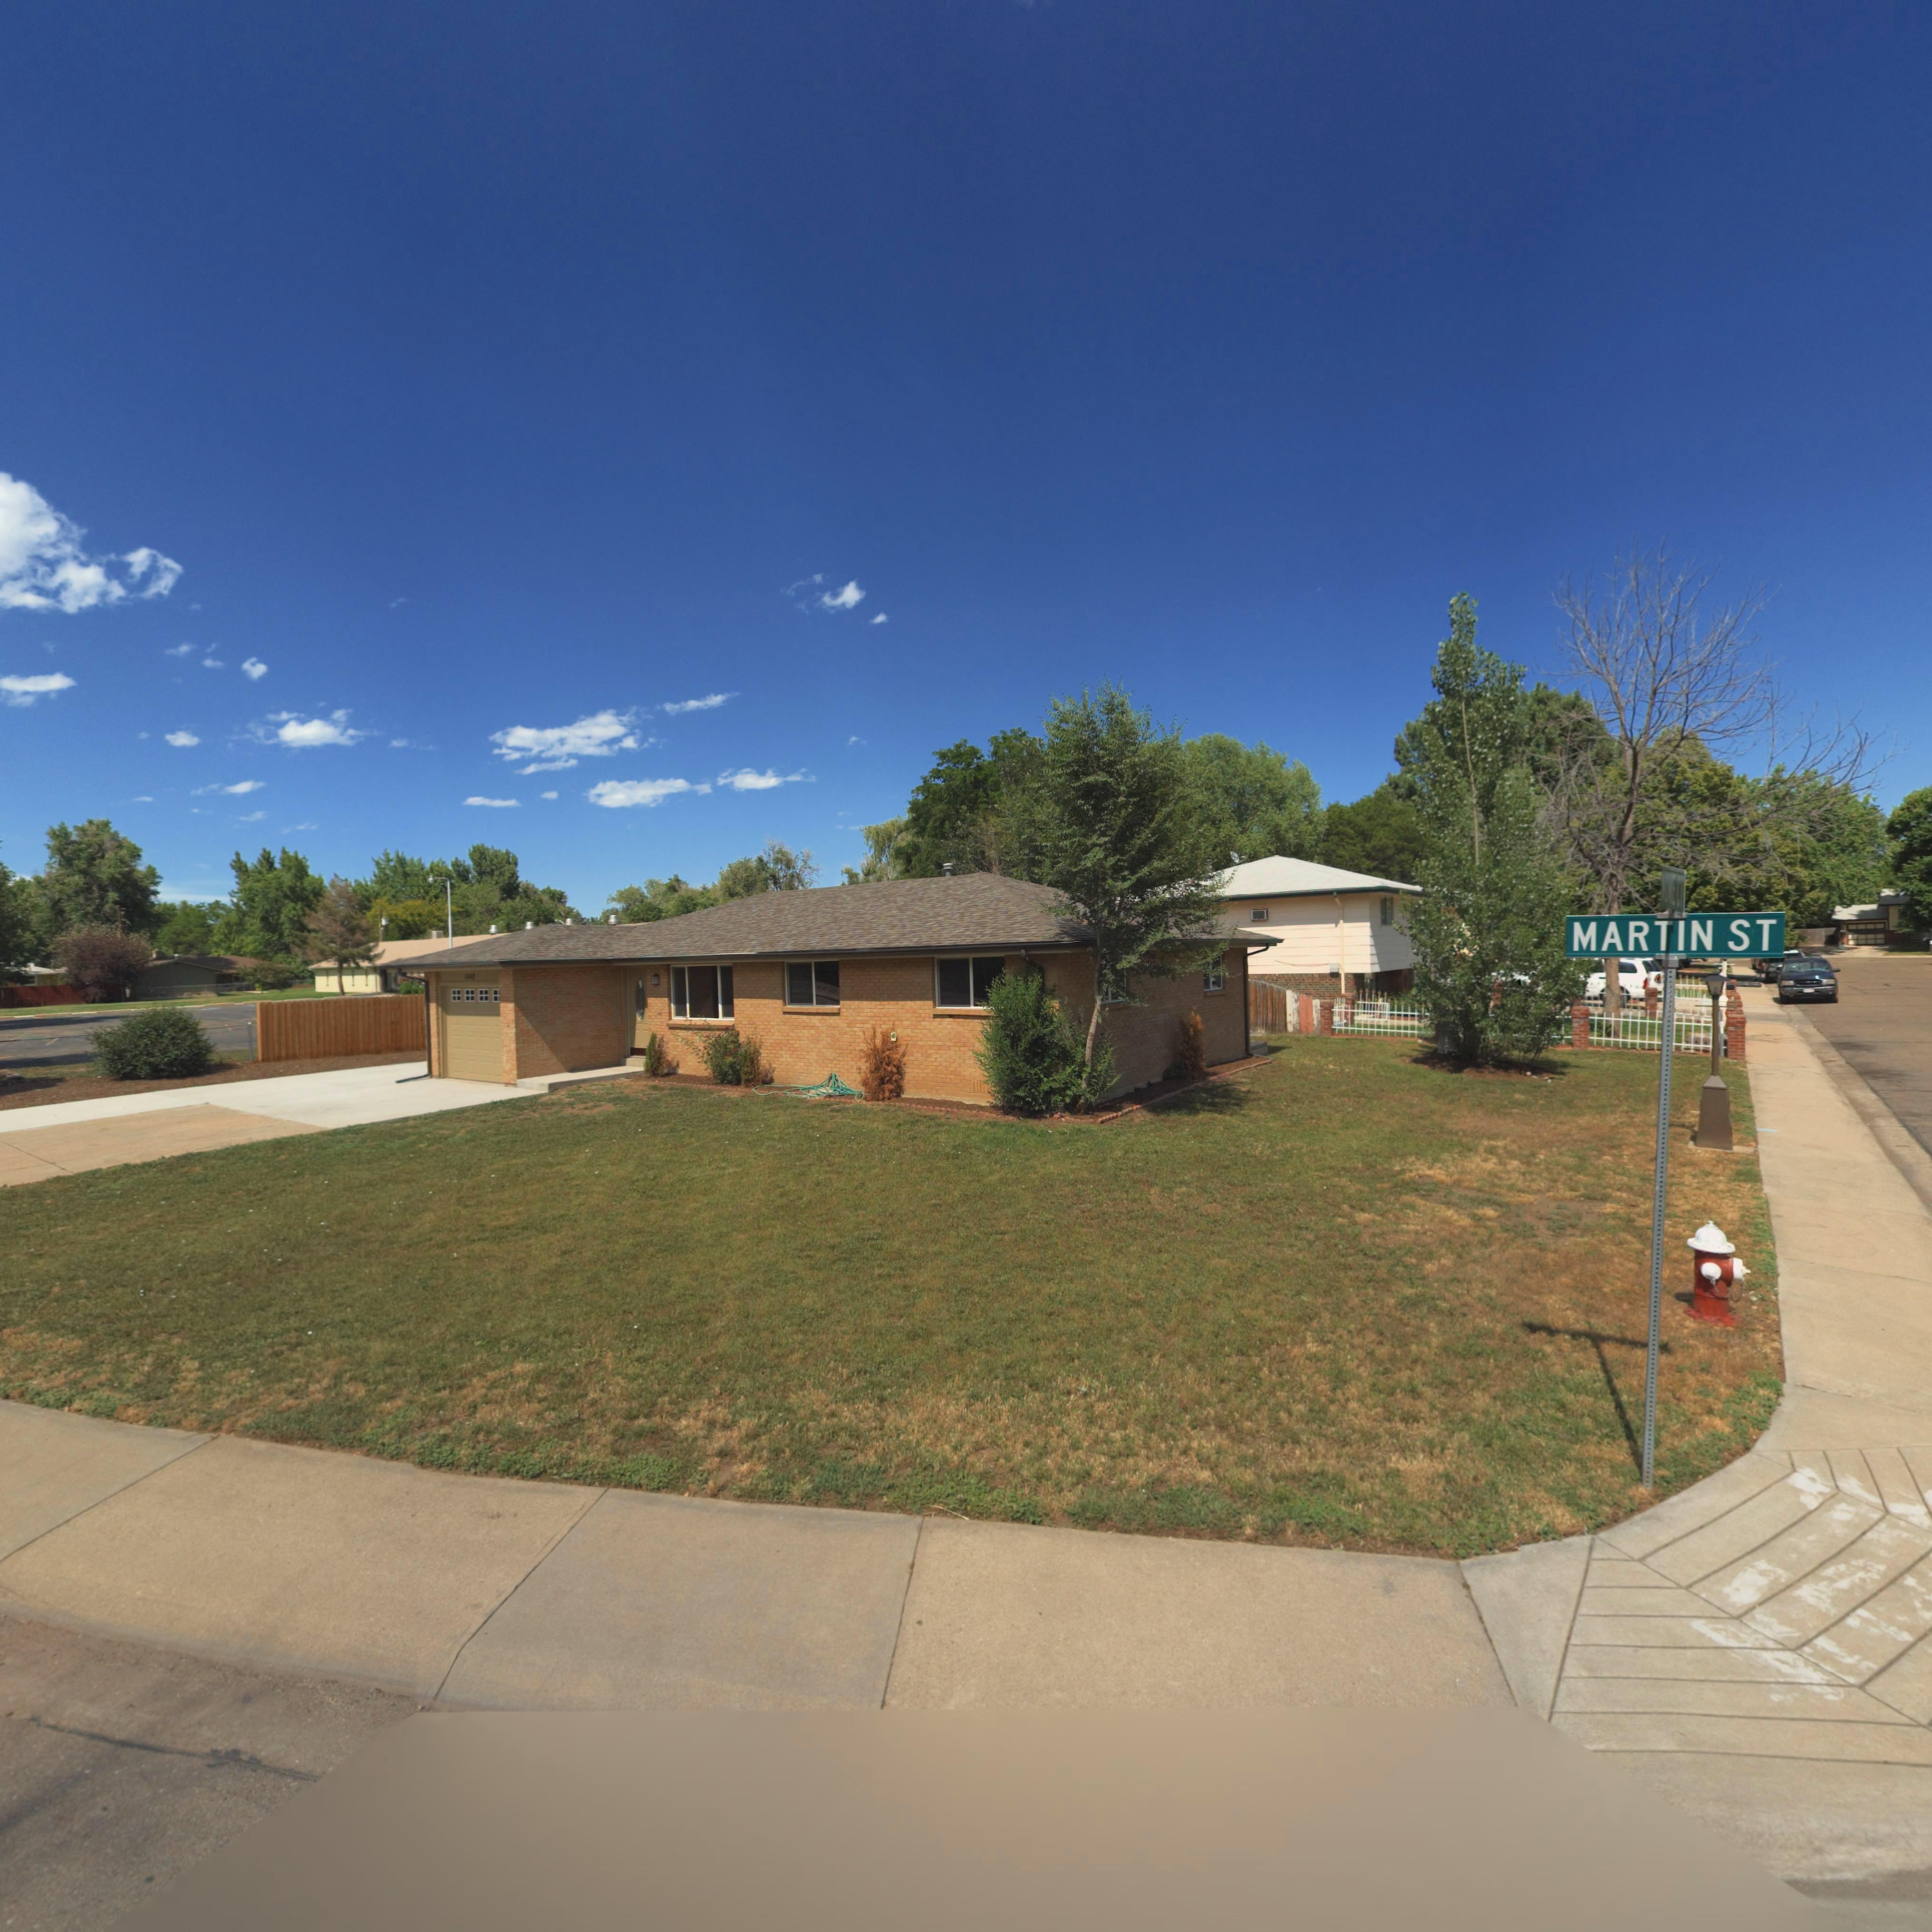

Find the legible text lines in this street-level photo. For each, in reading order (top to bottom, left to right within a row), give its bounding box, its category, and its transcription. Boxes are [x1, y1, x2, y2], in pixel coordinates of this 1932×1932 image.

[1659, 869, 1686, 912] StreetName: **ME CT
[1570, 917, 1779, 952] StreetName: MARTIN ST
[463, 972, 476, 981] StreetNumber: 1*4*